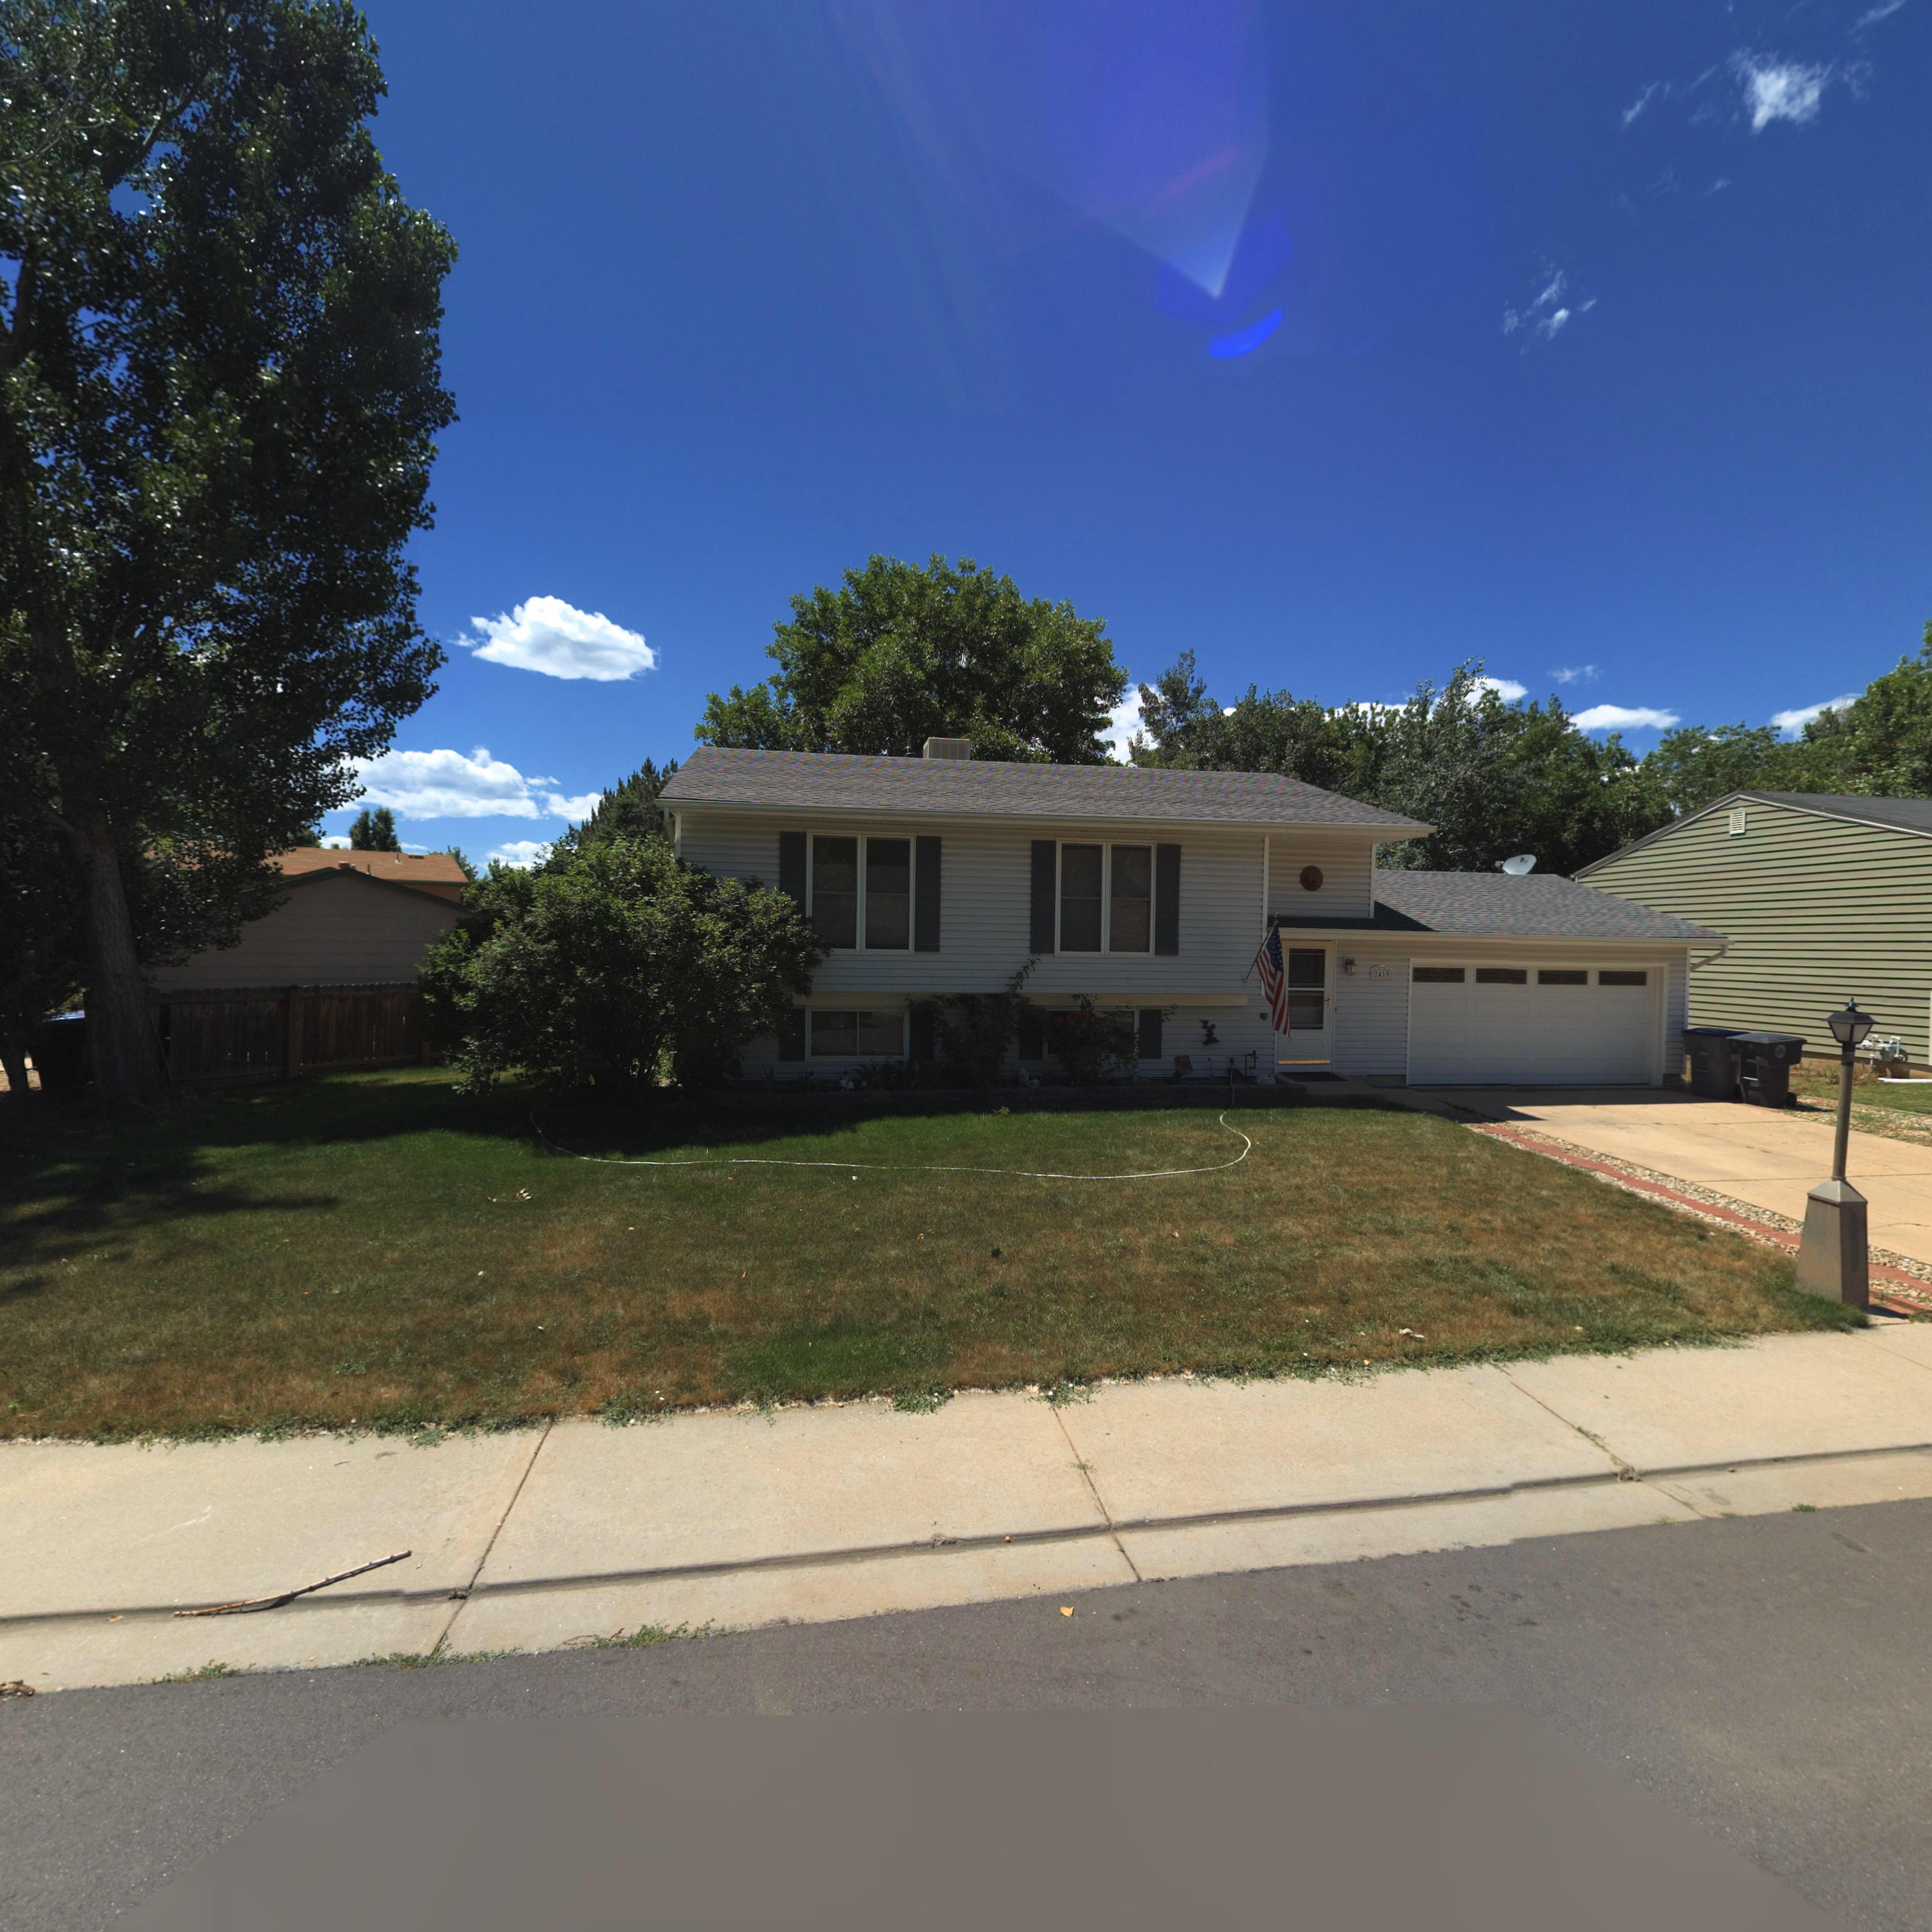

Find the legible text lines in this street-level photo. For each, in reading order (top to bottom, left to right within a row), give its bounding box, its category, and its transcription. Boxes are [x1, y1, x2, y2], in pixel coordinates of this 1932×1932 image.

[1374, 971, 1389, 977] StreetNumber: 2419